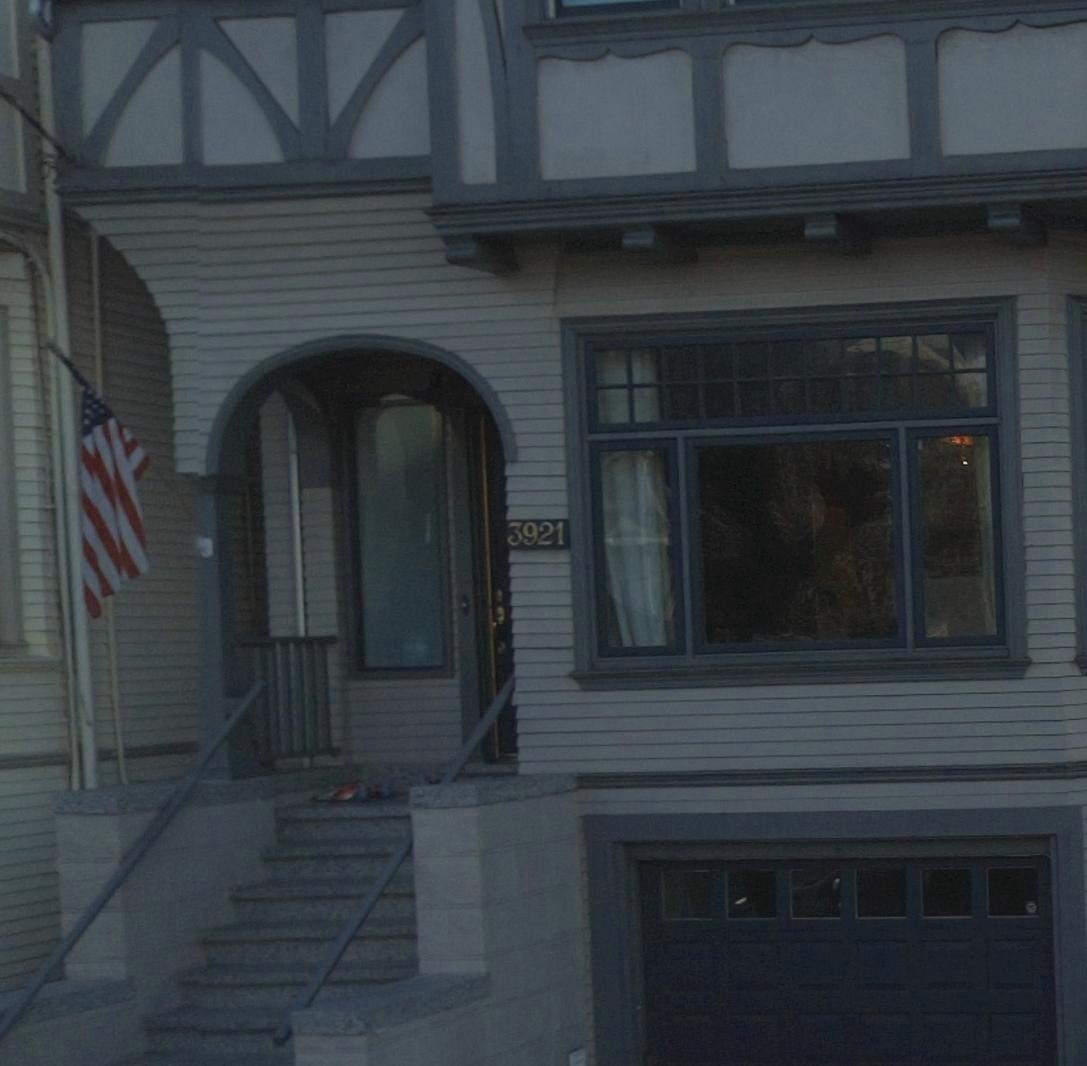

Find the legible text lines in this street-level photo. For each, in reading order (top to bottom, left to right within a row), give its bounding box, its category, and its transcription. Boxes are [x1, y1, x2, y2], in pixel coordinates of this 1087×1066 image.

[505, 519, 567, 548] StreetNumber: 3921